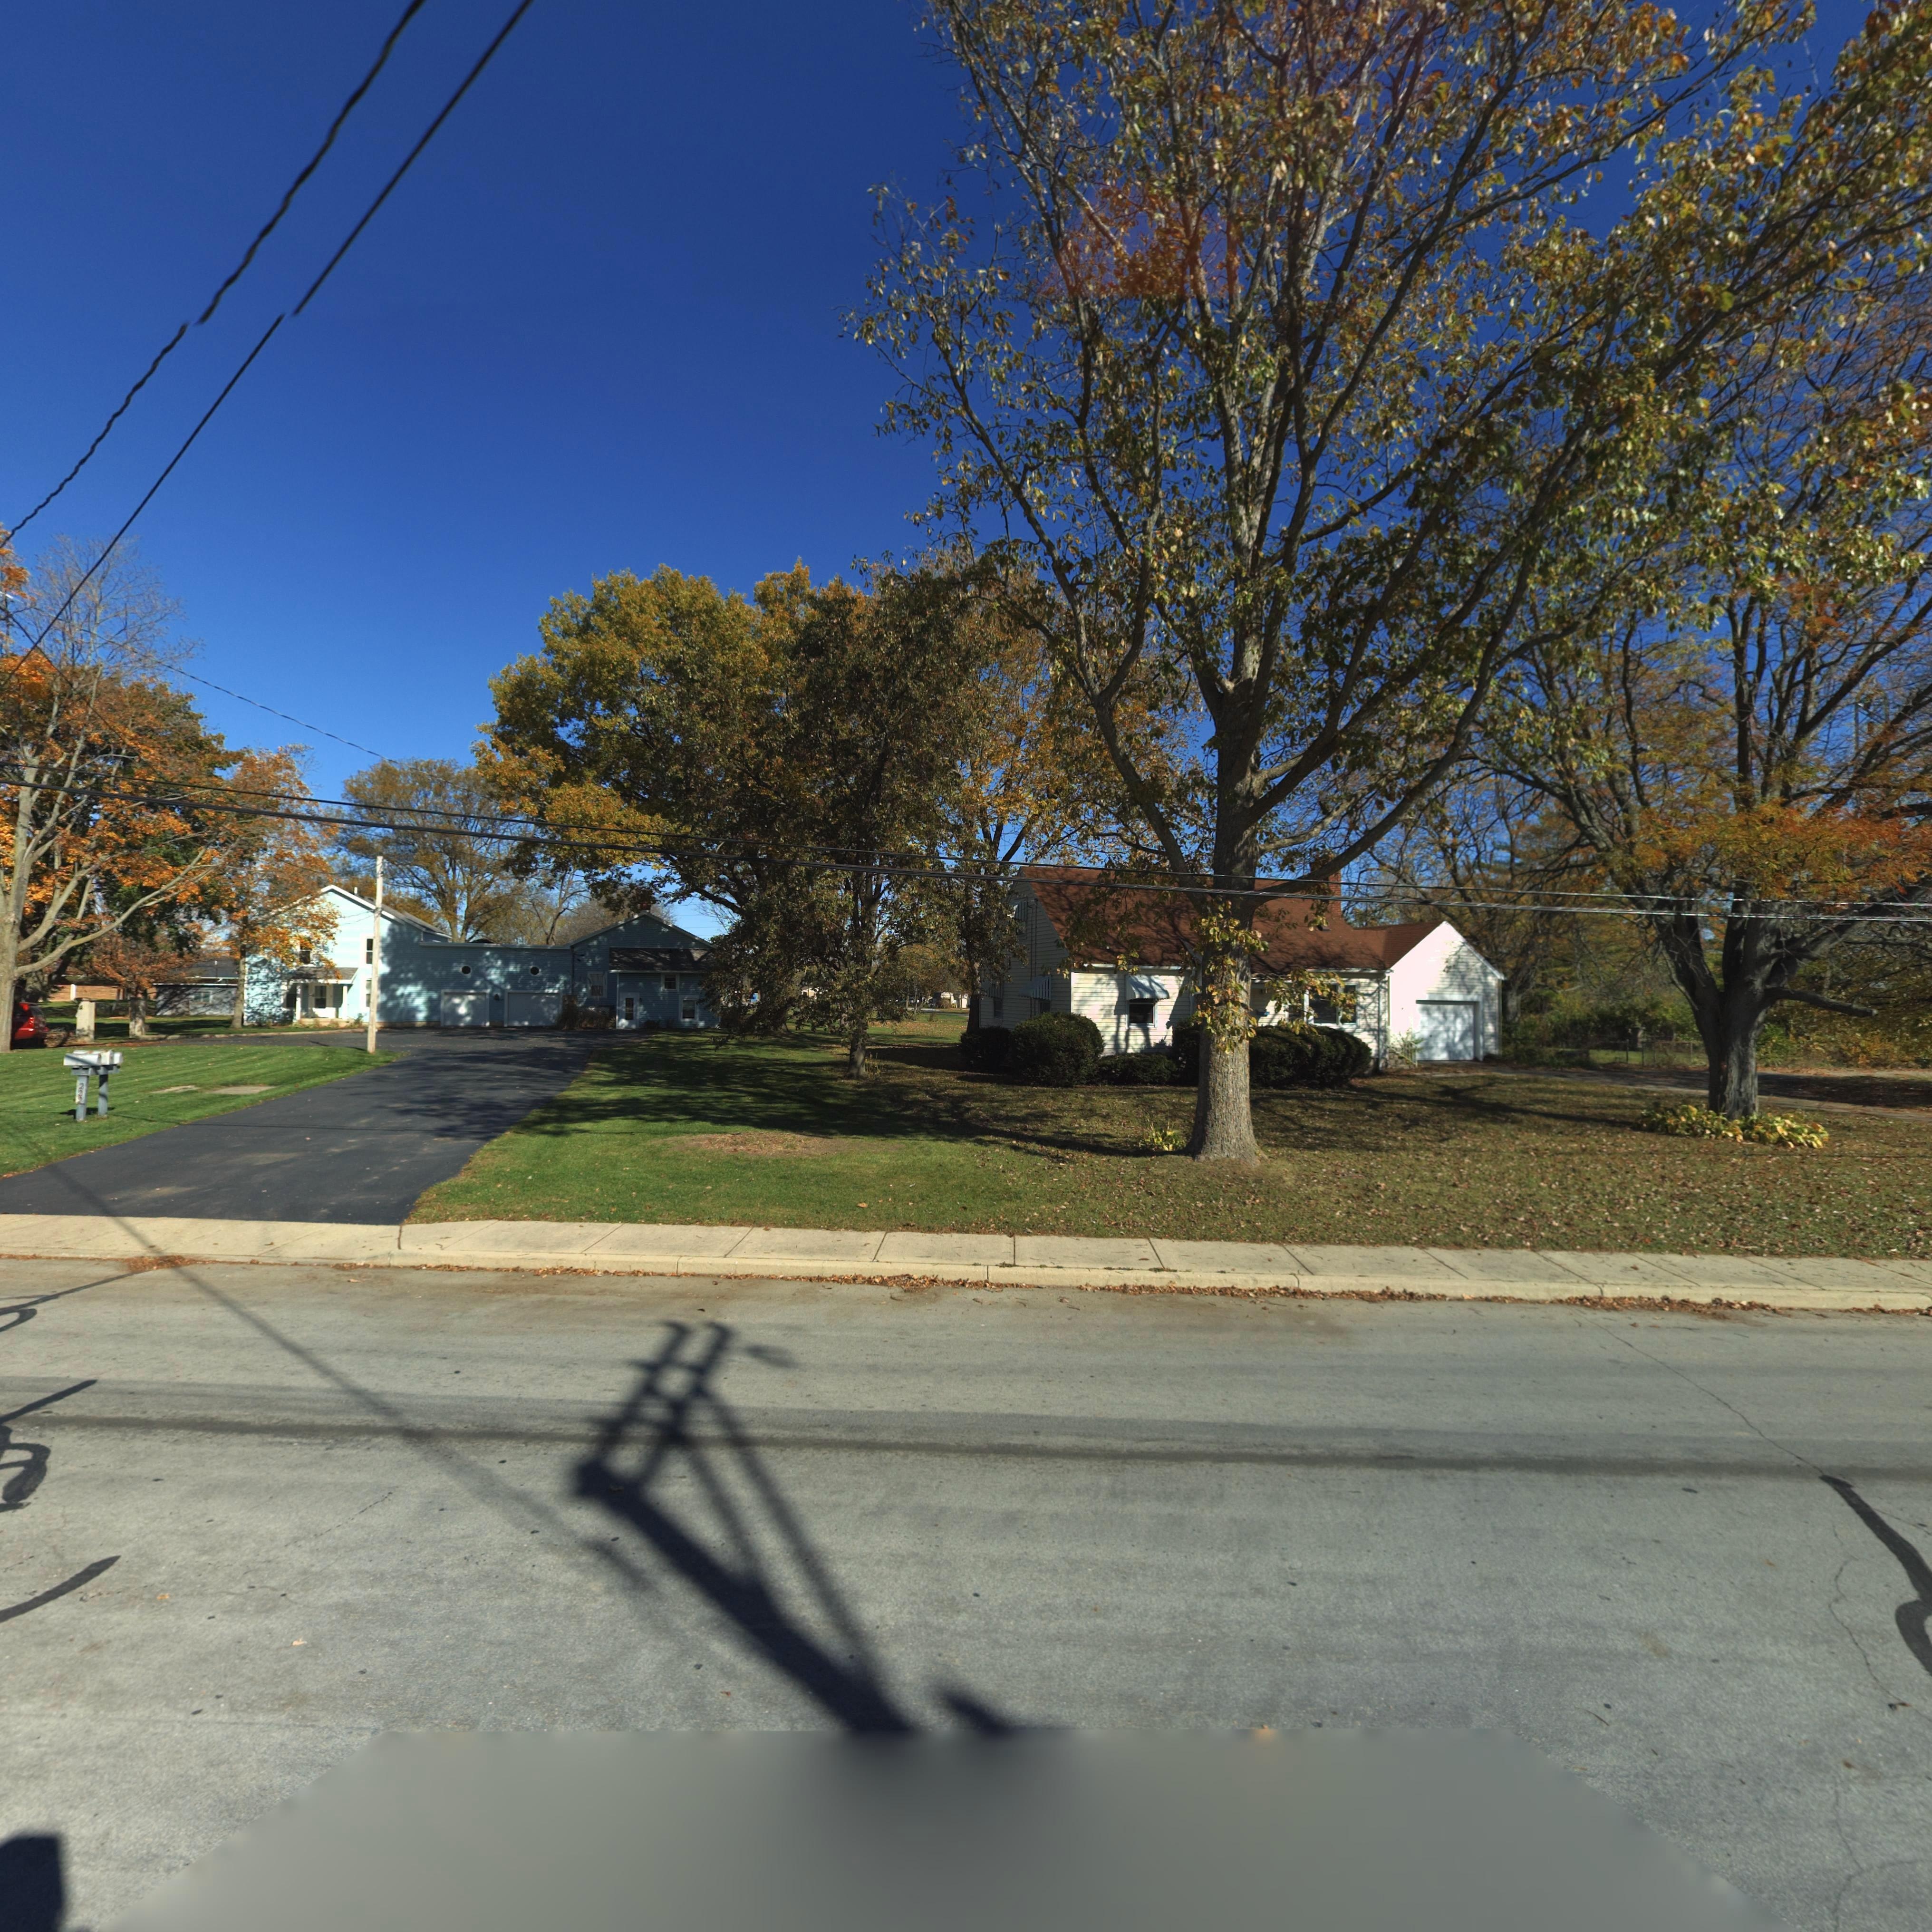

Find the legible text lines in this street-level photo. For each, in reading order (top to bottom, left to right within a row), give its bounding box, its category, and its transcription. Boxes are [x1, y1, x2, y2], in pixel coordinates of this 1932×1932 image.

[76, 1082, 85, 1104] StreetNumber: 222